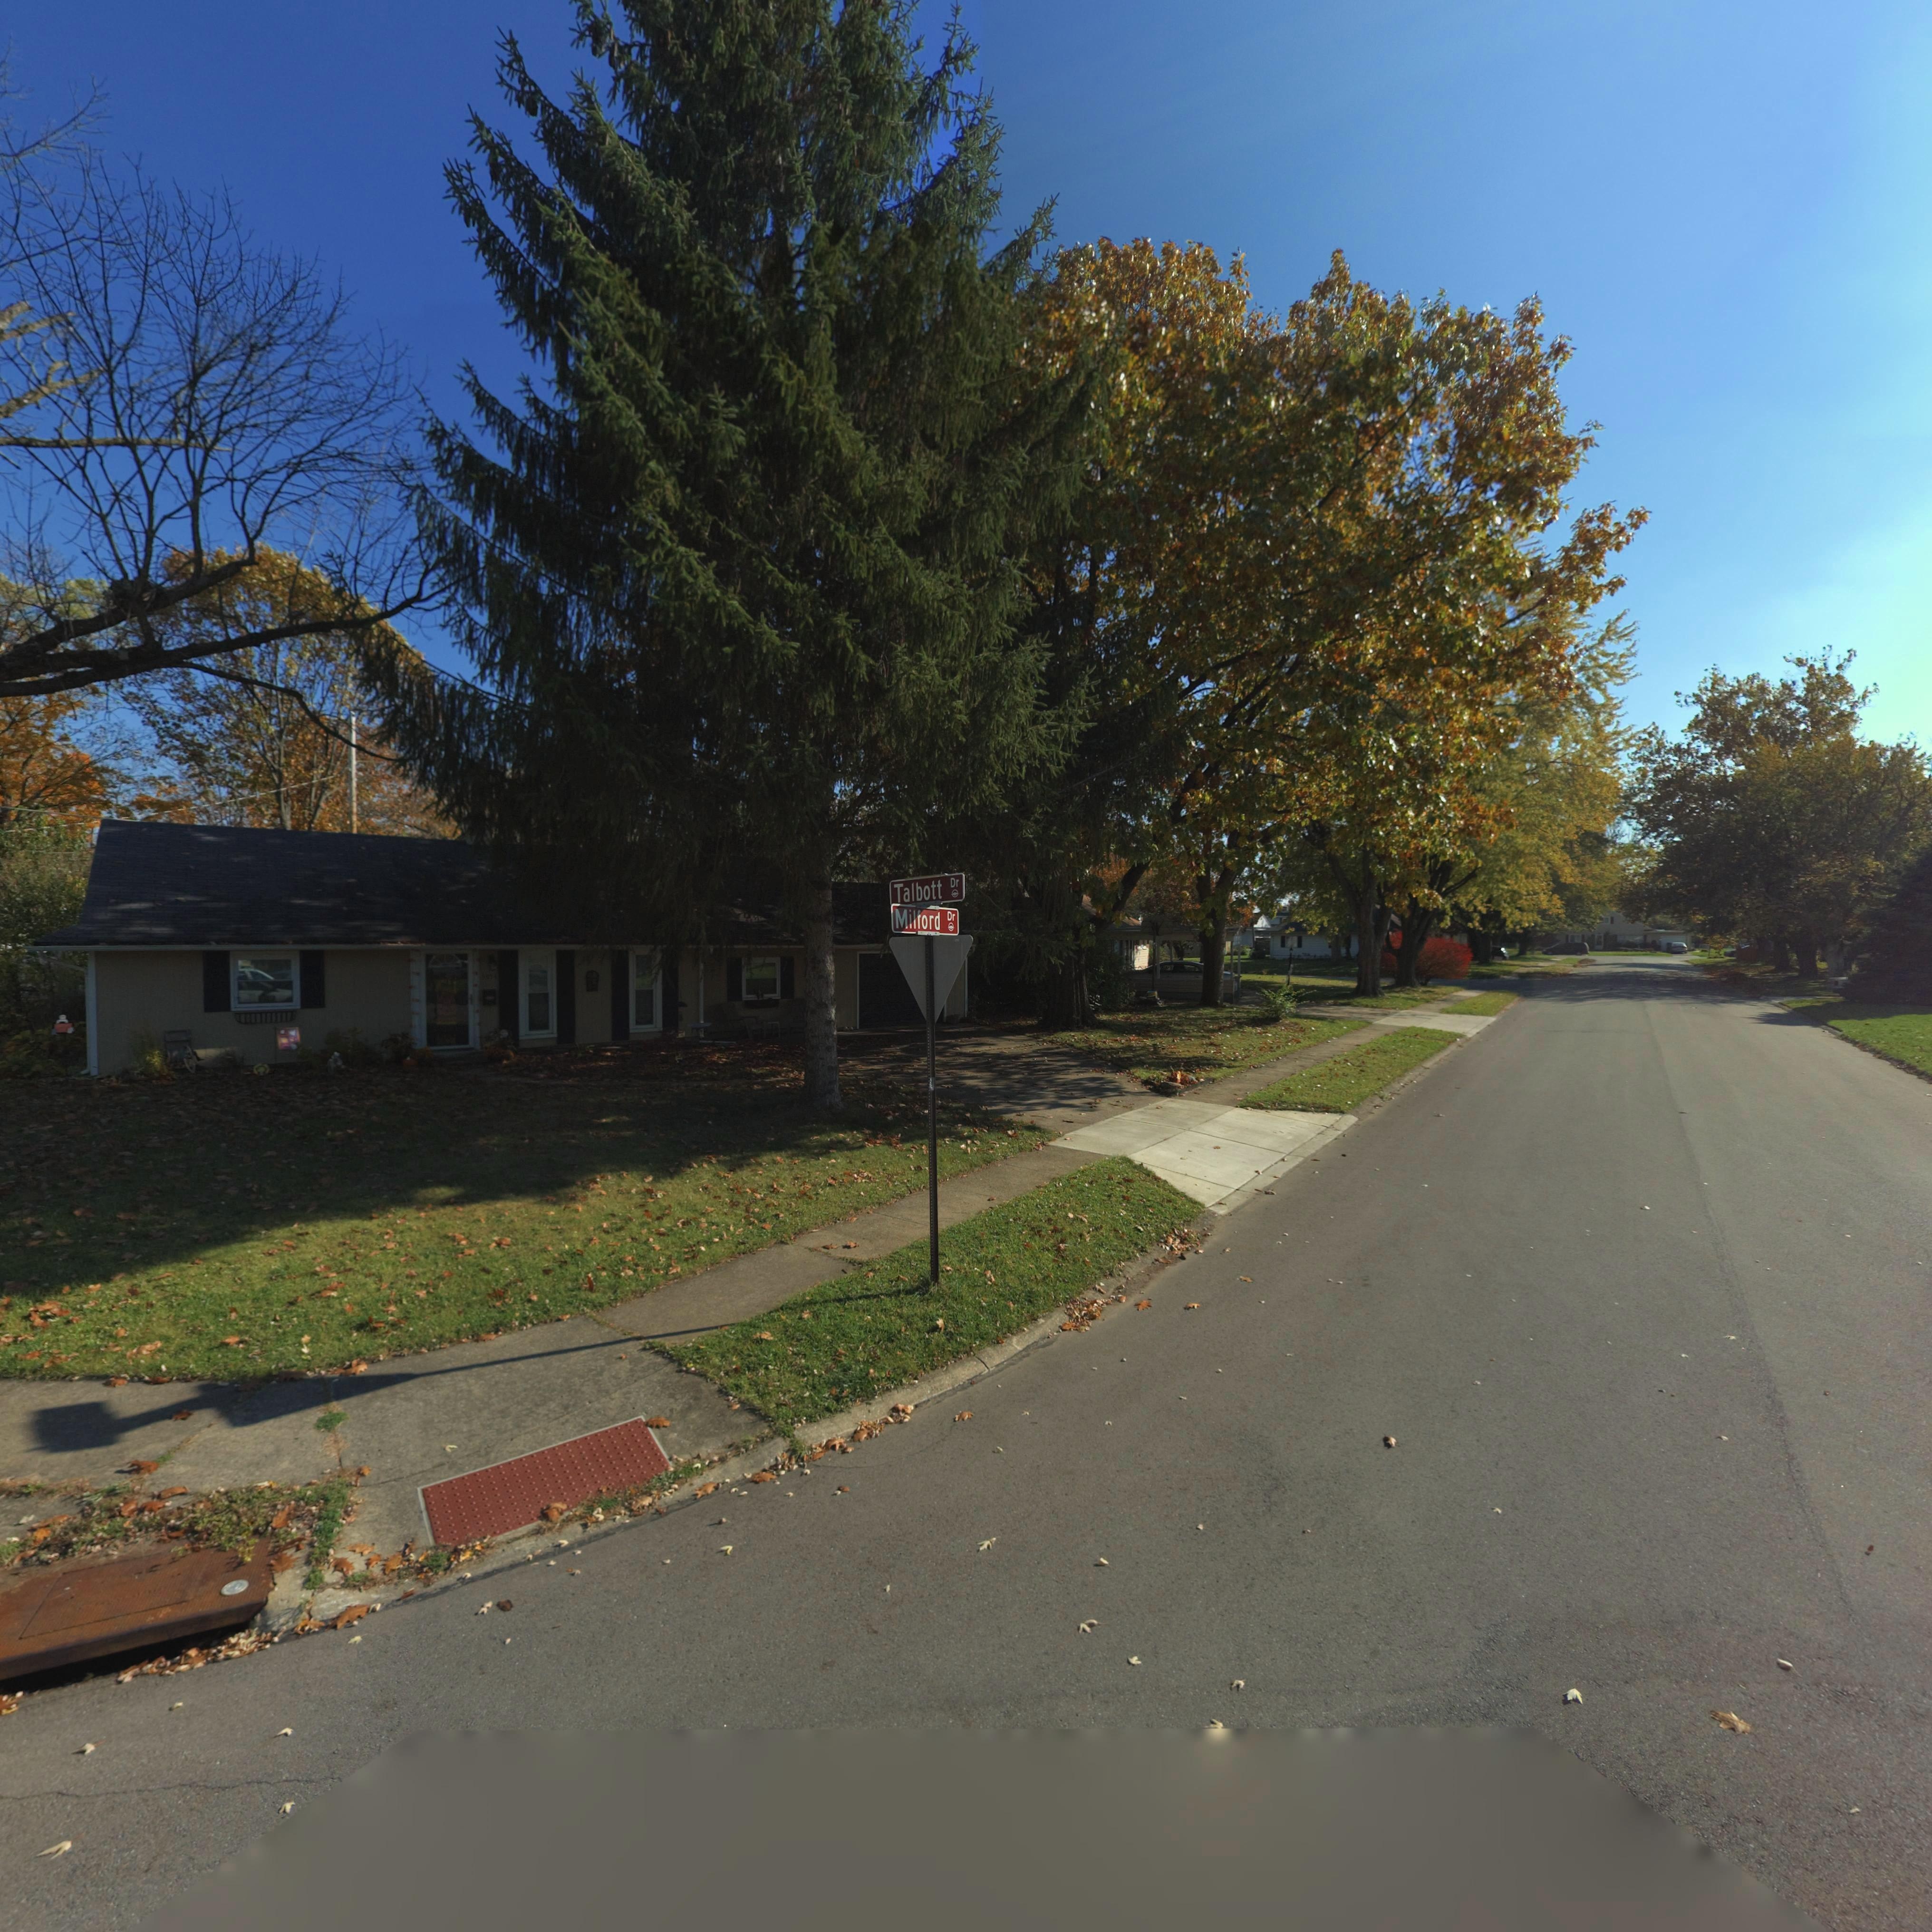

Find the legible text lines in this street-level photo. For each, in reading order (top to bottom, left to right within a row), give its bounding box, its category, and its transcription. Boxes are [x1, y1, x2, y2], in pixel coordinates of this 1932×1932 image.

[892, 876, 960, 904] StreetName: Talbott Dr
[894, 907, 957, 931] StreetName: Milford Dr